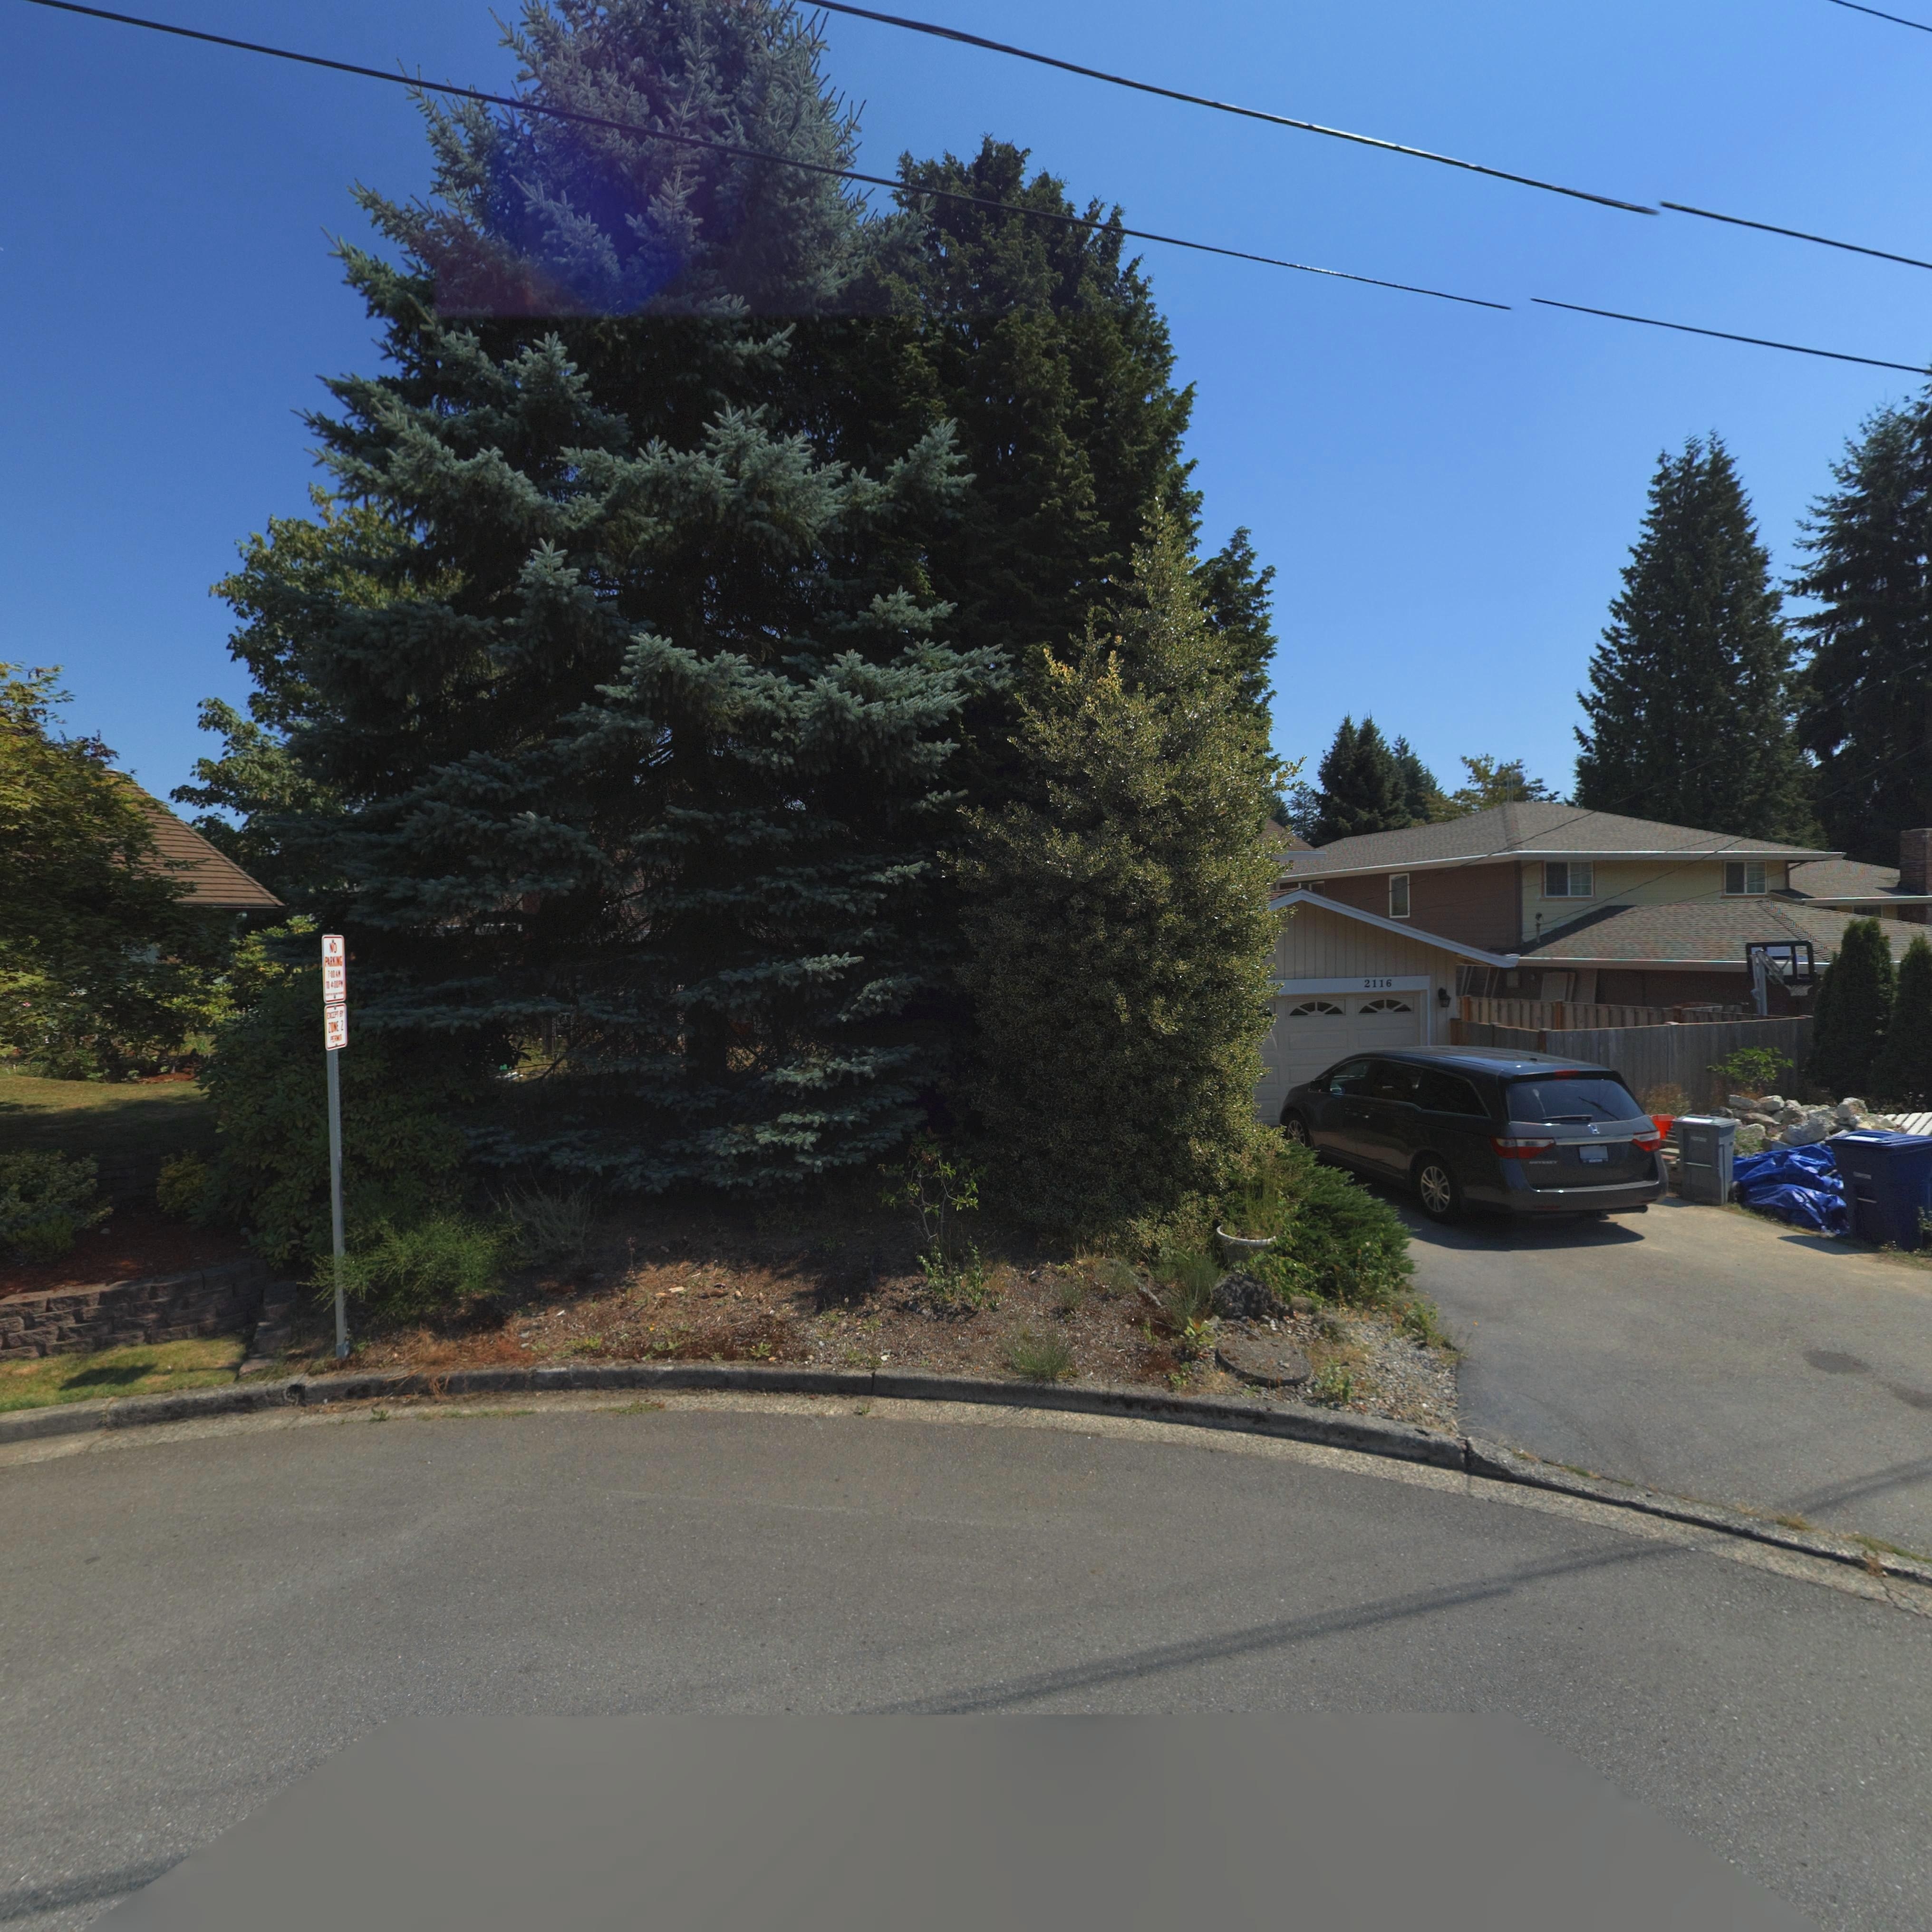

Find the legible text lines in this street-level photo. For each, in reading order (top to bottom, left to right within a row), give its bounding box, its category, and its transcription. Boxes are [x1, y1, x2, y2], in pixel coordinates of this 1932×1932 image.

[1363, 978, 1391, 987] StreetNumber: 2116